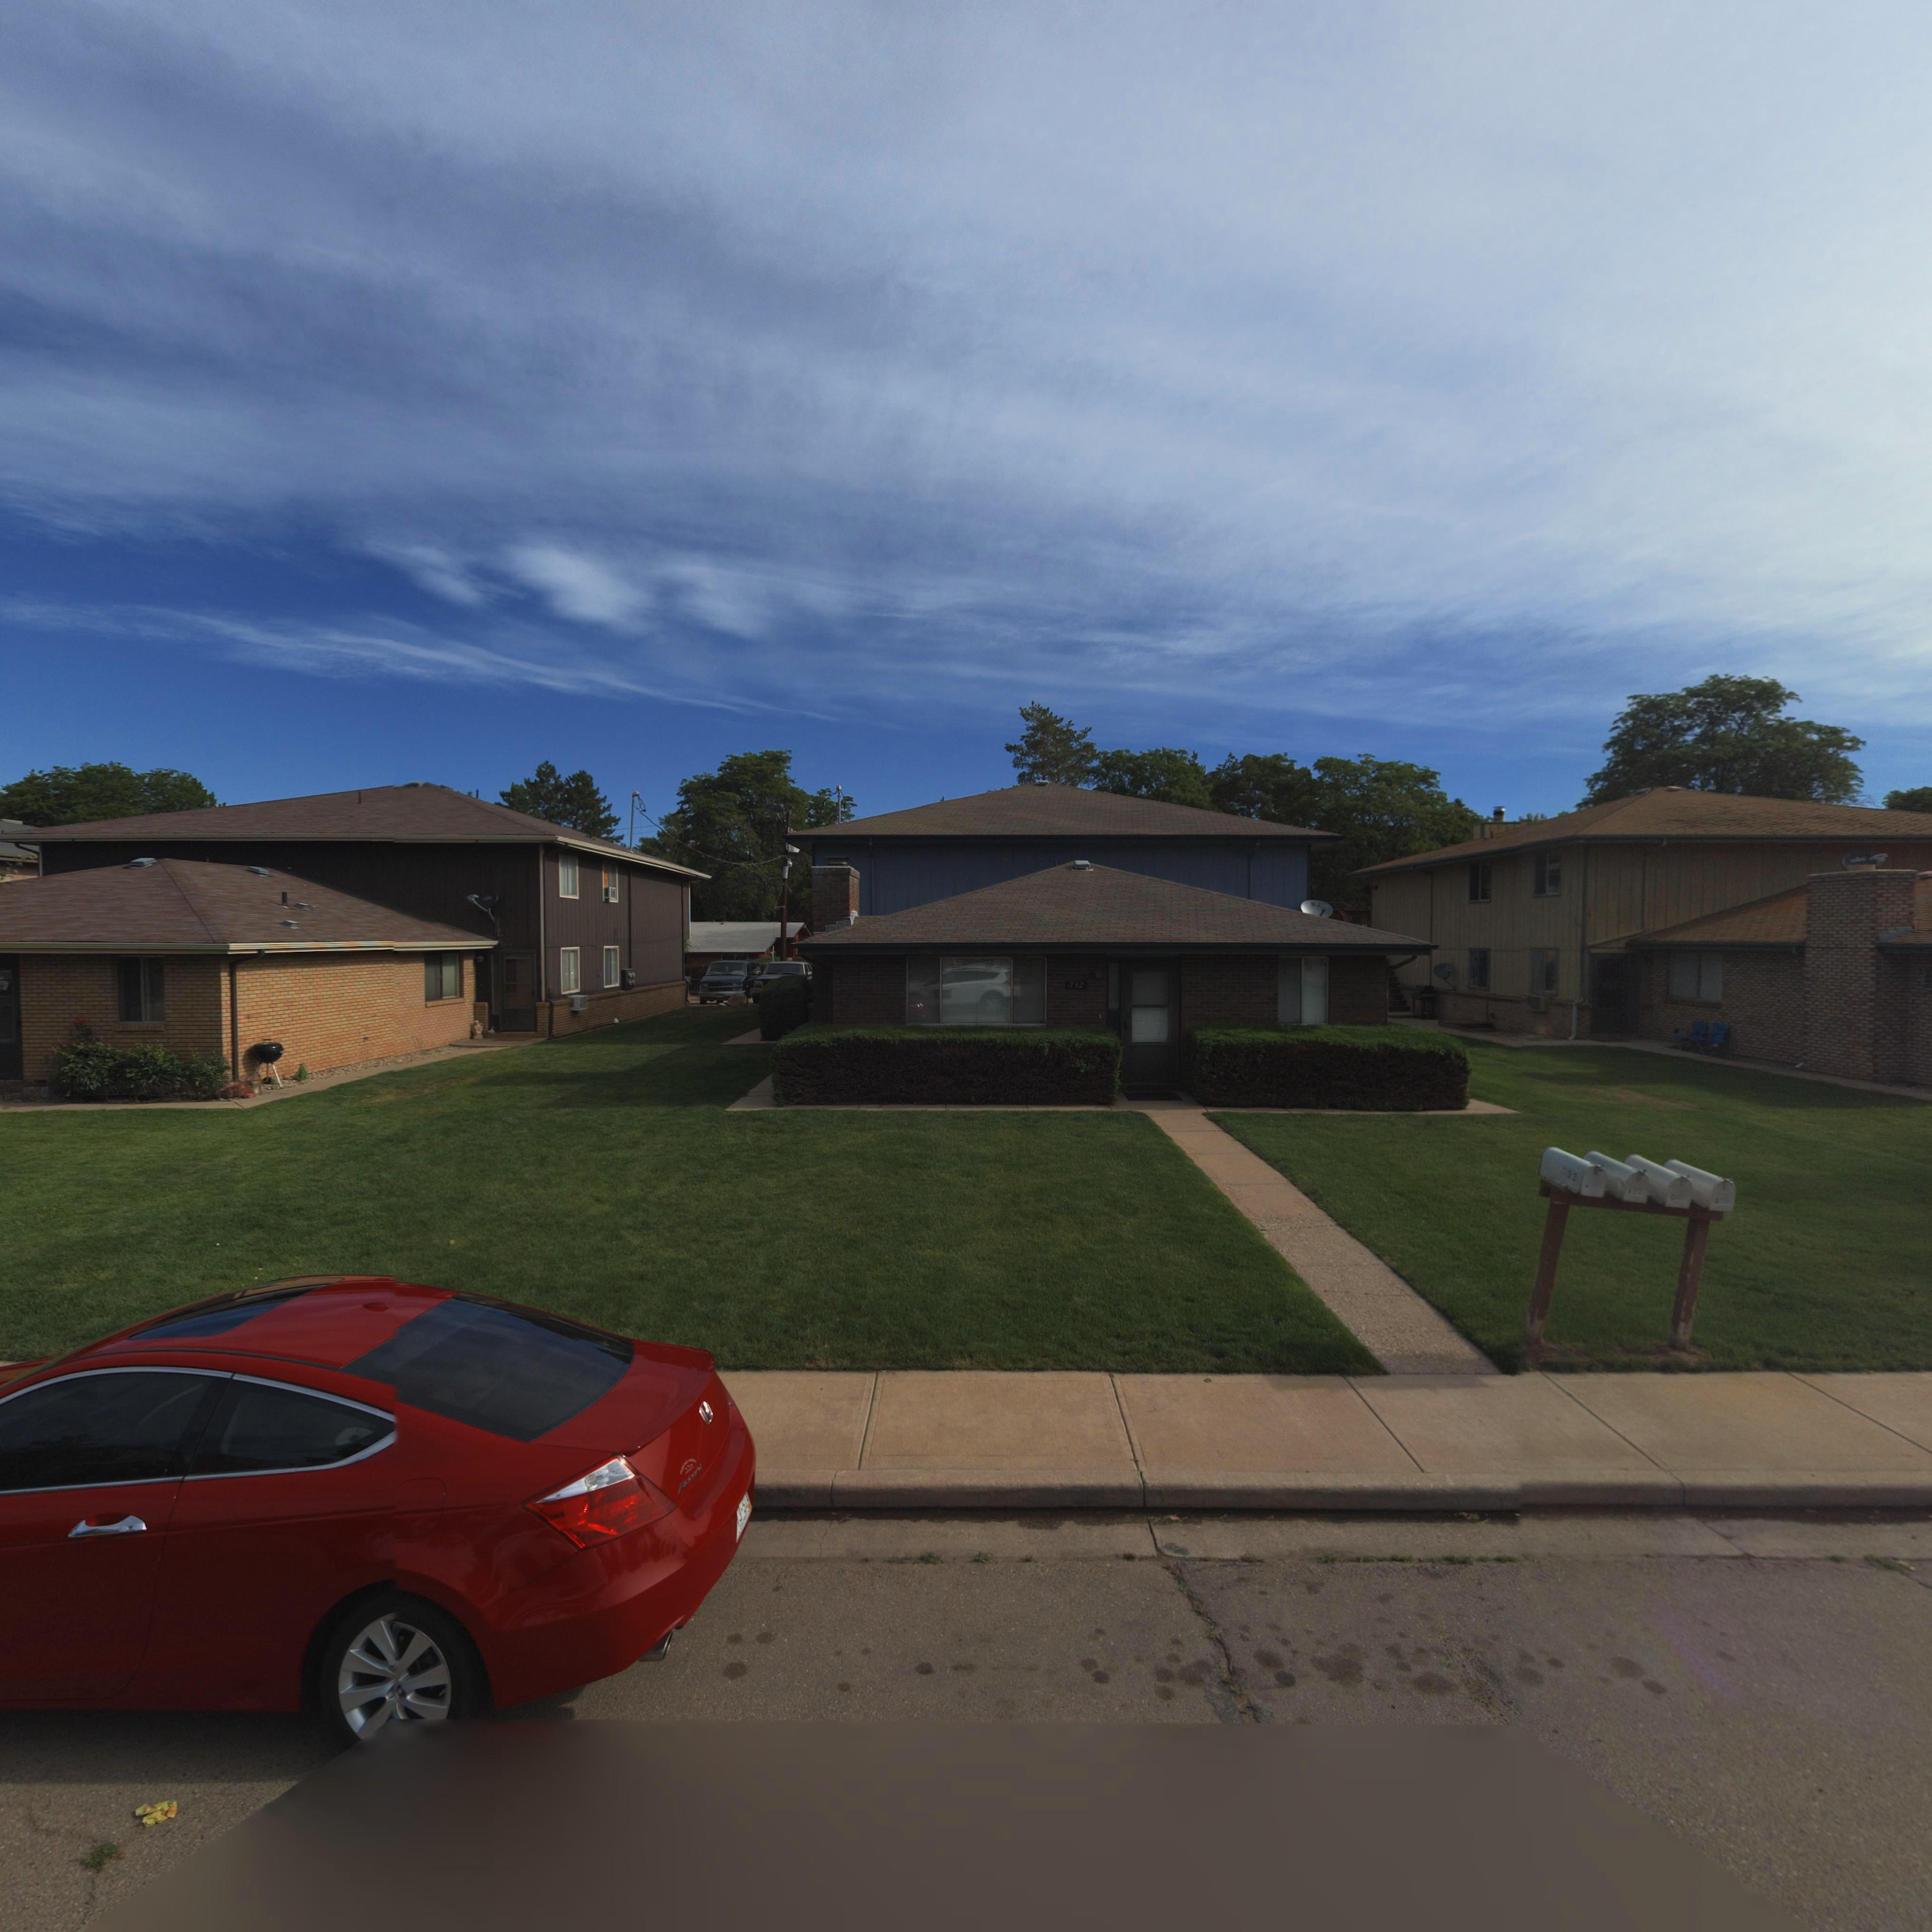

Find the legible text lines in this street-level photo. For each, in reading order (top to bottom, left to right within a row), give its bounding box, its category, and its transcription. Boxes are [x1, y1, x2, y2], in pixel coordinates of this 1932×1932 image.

[1069, 980, 1084, 989] StreetNumber: 732
[1559, 1166, 1580, 1183] StreetNumber: *32